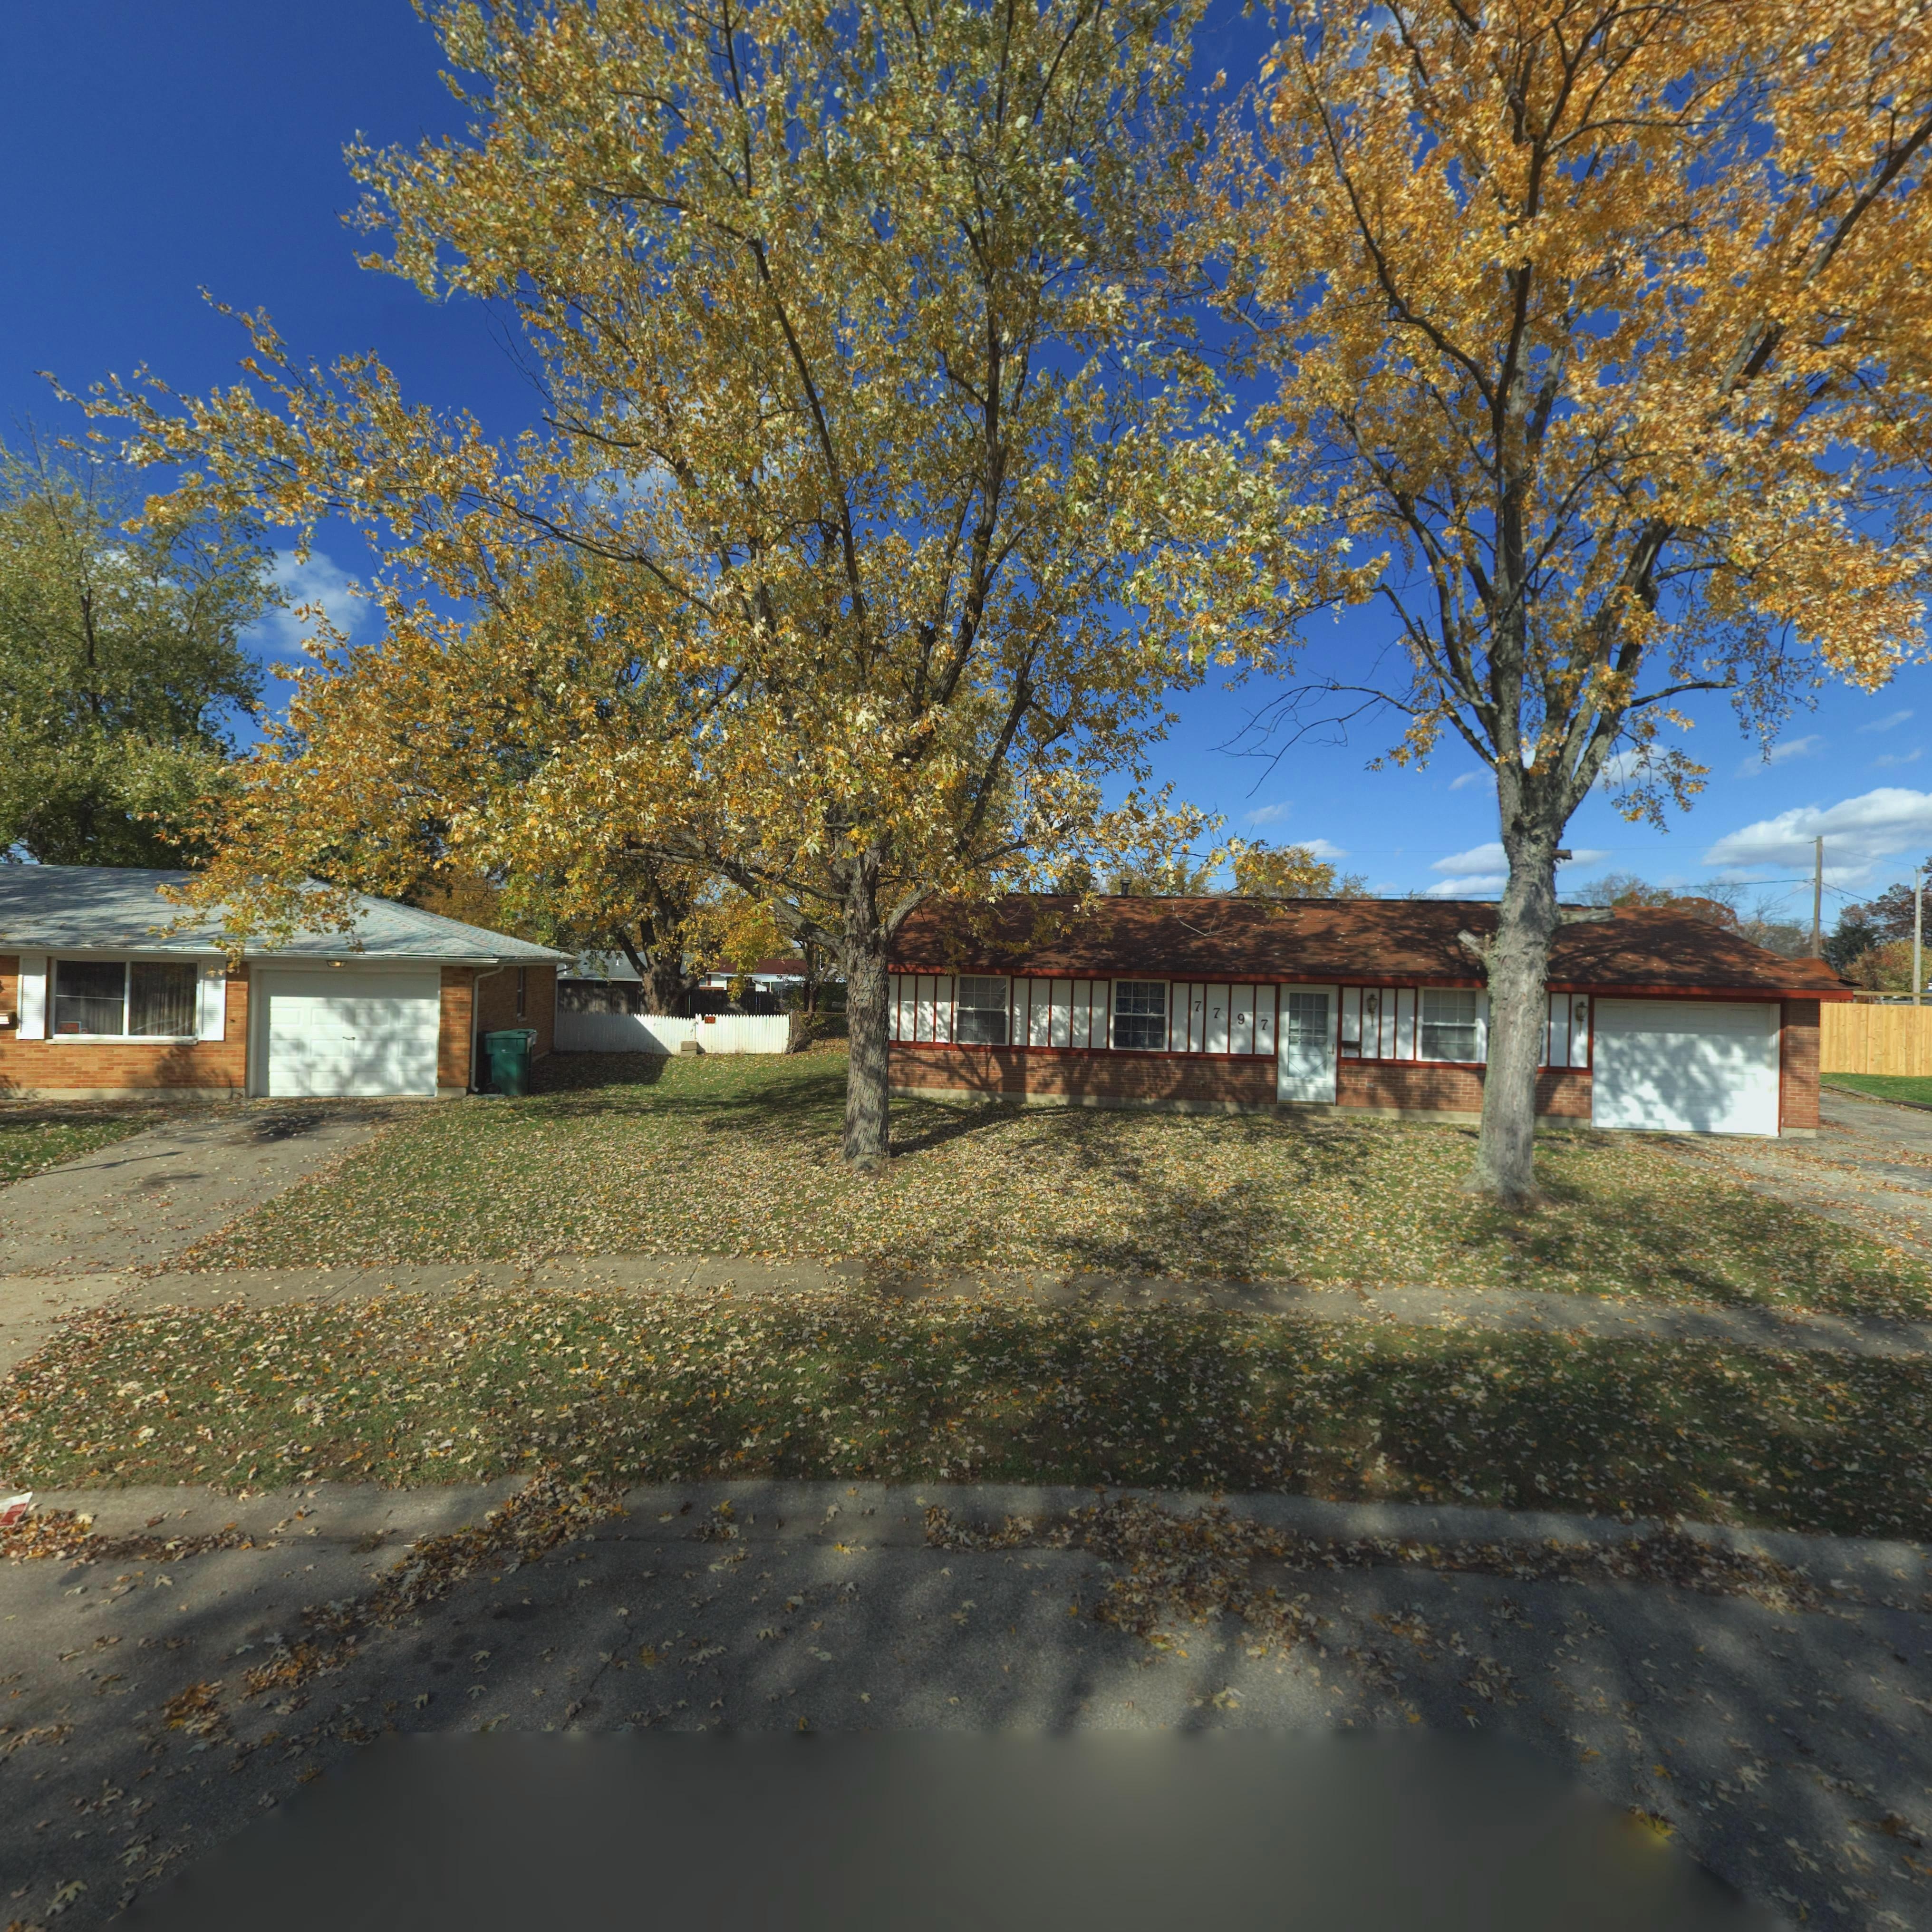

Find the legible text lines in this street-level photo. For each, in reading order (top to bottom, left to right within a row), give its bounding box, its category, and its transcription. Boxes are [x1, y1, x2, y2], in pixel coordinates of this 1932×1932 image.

[1194, 1000, 1268, 1031] StreetNumber: 7797